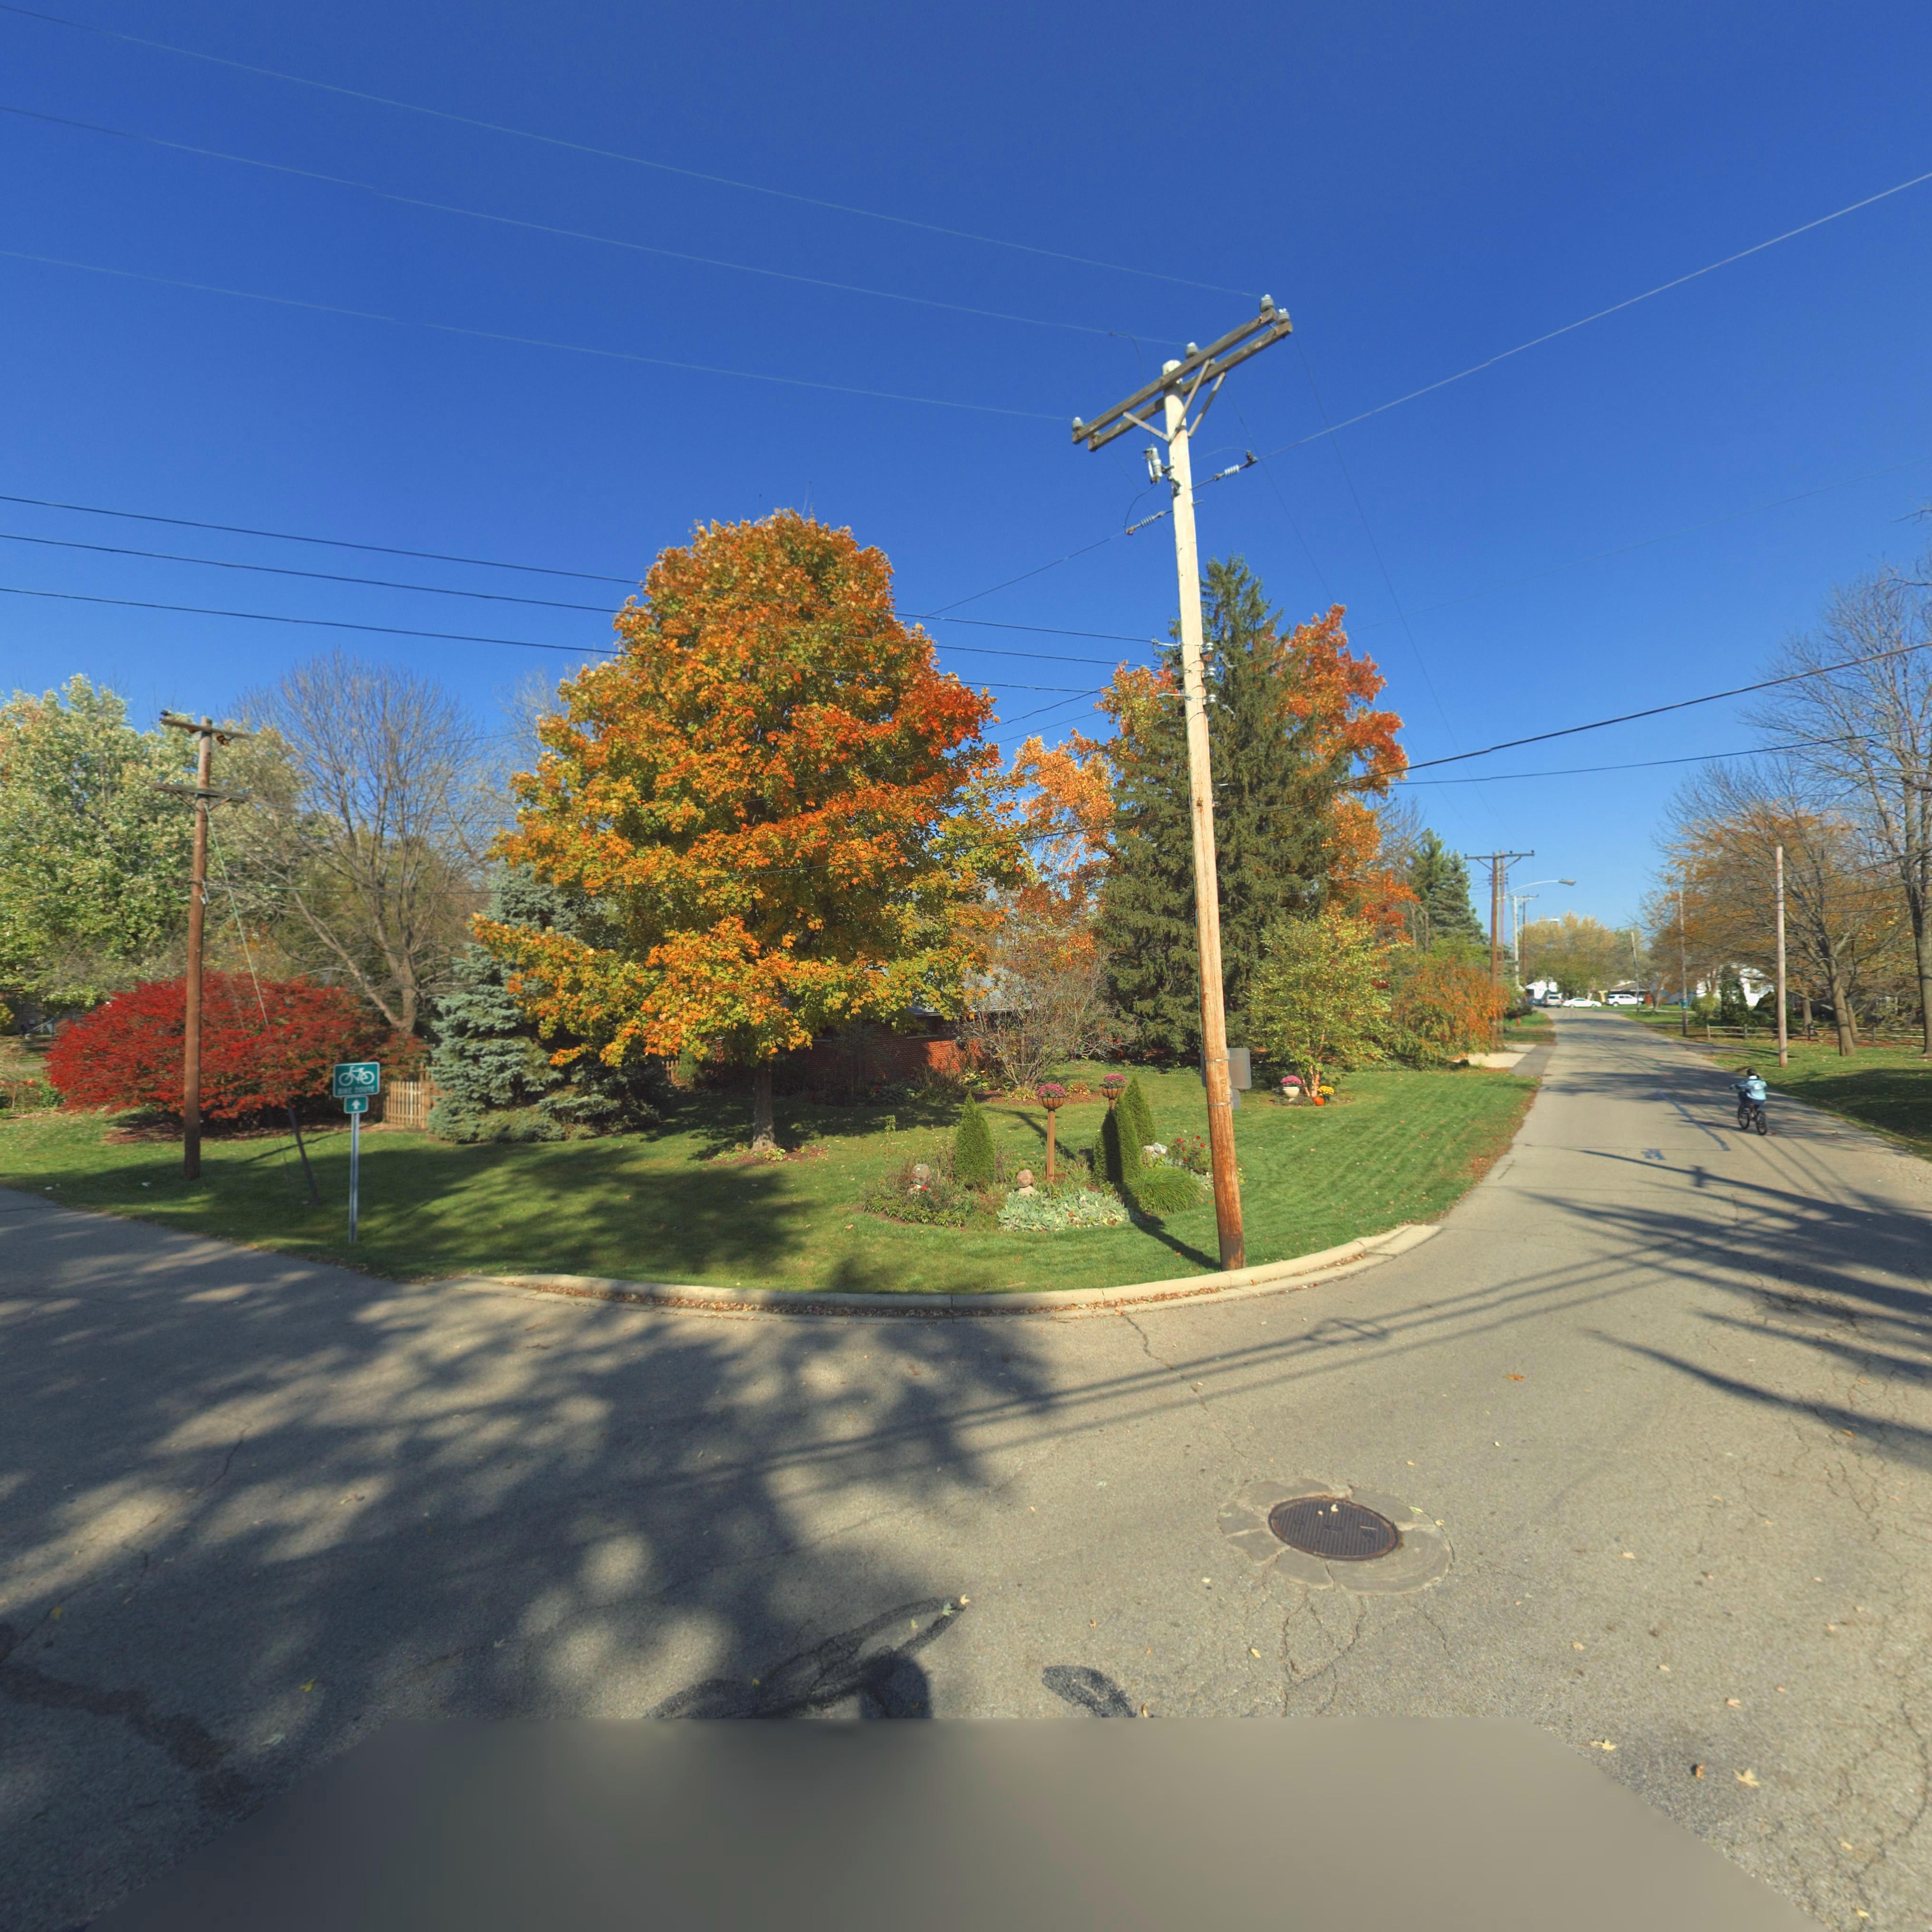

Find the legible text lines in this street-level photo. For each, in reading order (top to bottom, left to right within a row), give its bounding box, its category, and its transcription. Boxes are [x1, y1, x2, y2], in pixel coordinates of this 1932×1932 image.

[337, 1084, 376, 1096] None: BIKE ROUTE